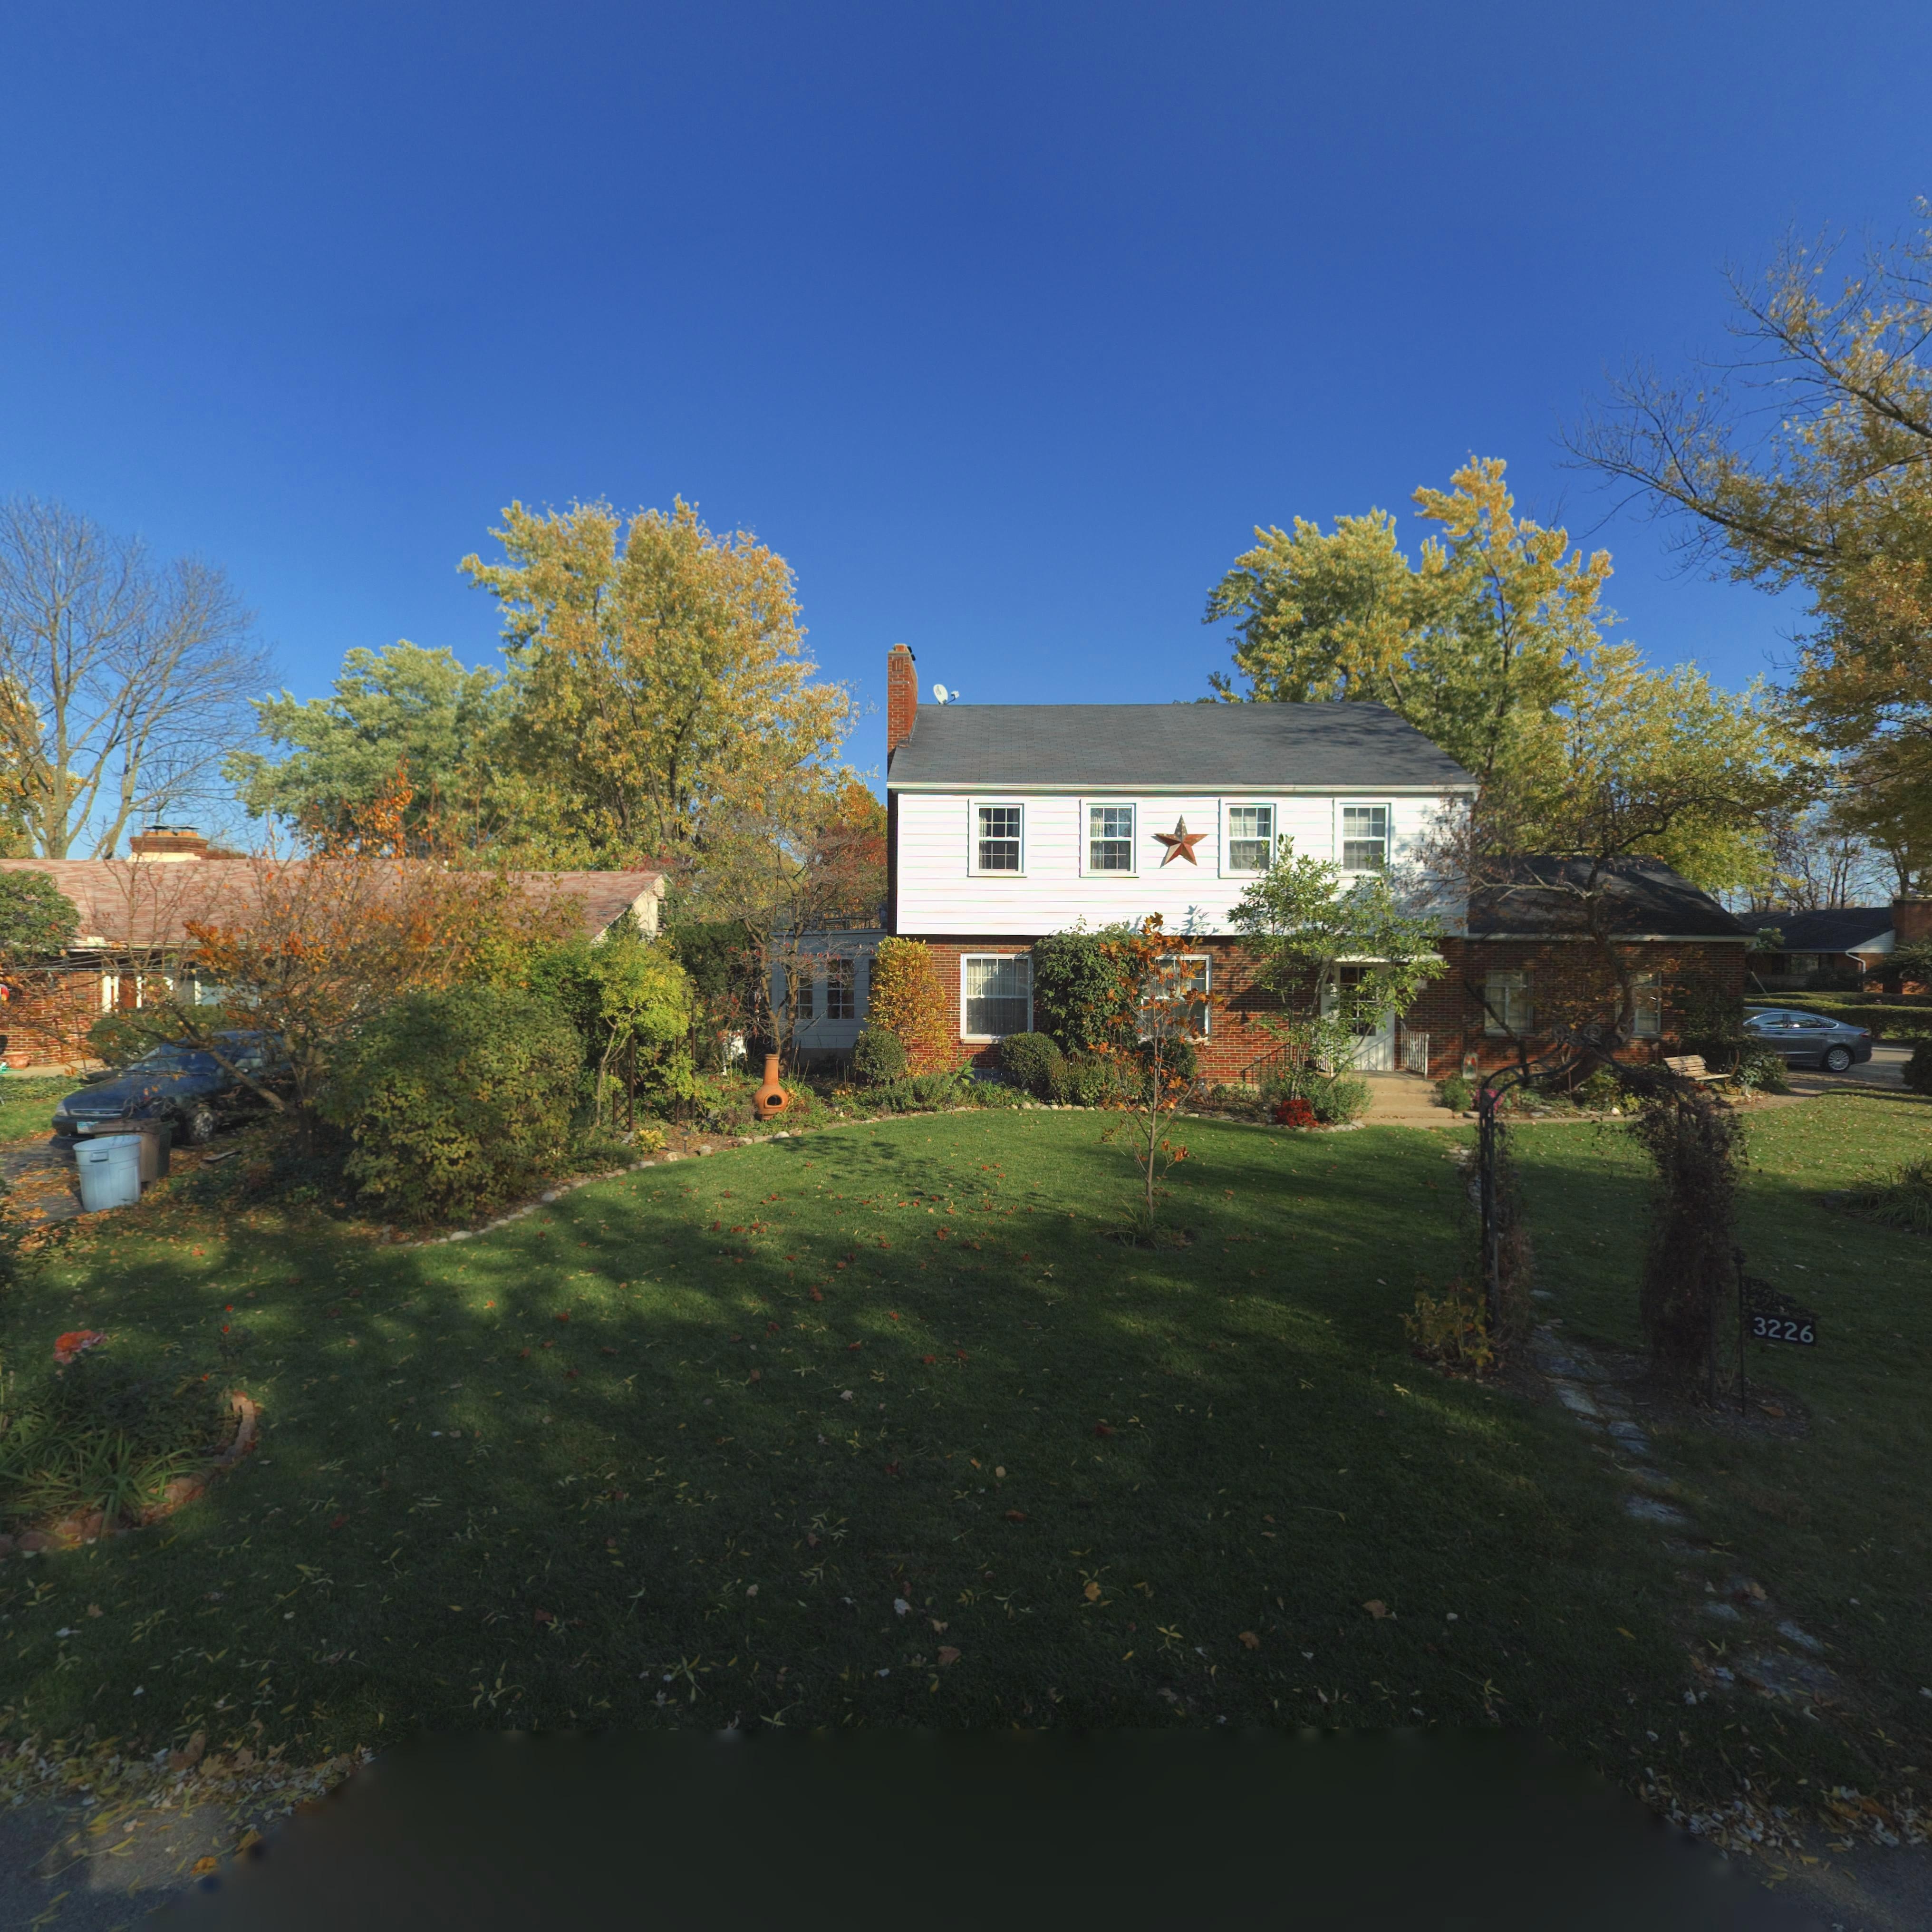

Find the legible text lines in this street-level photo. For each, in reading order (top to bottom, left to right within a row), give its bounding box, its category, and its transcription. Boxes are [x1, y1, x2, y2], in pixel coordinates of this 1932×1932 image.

[1753, 1316, 1814, 1344] StreetNumber: 3226